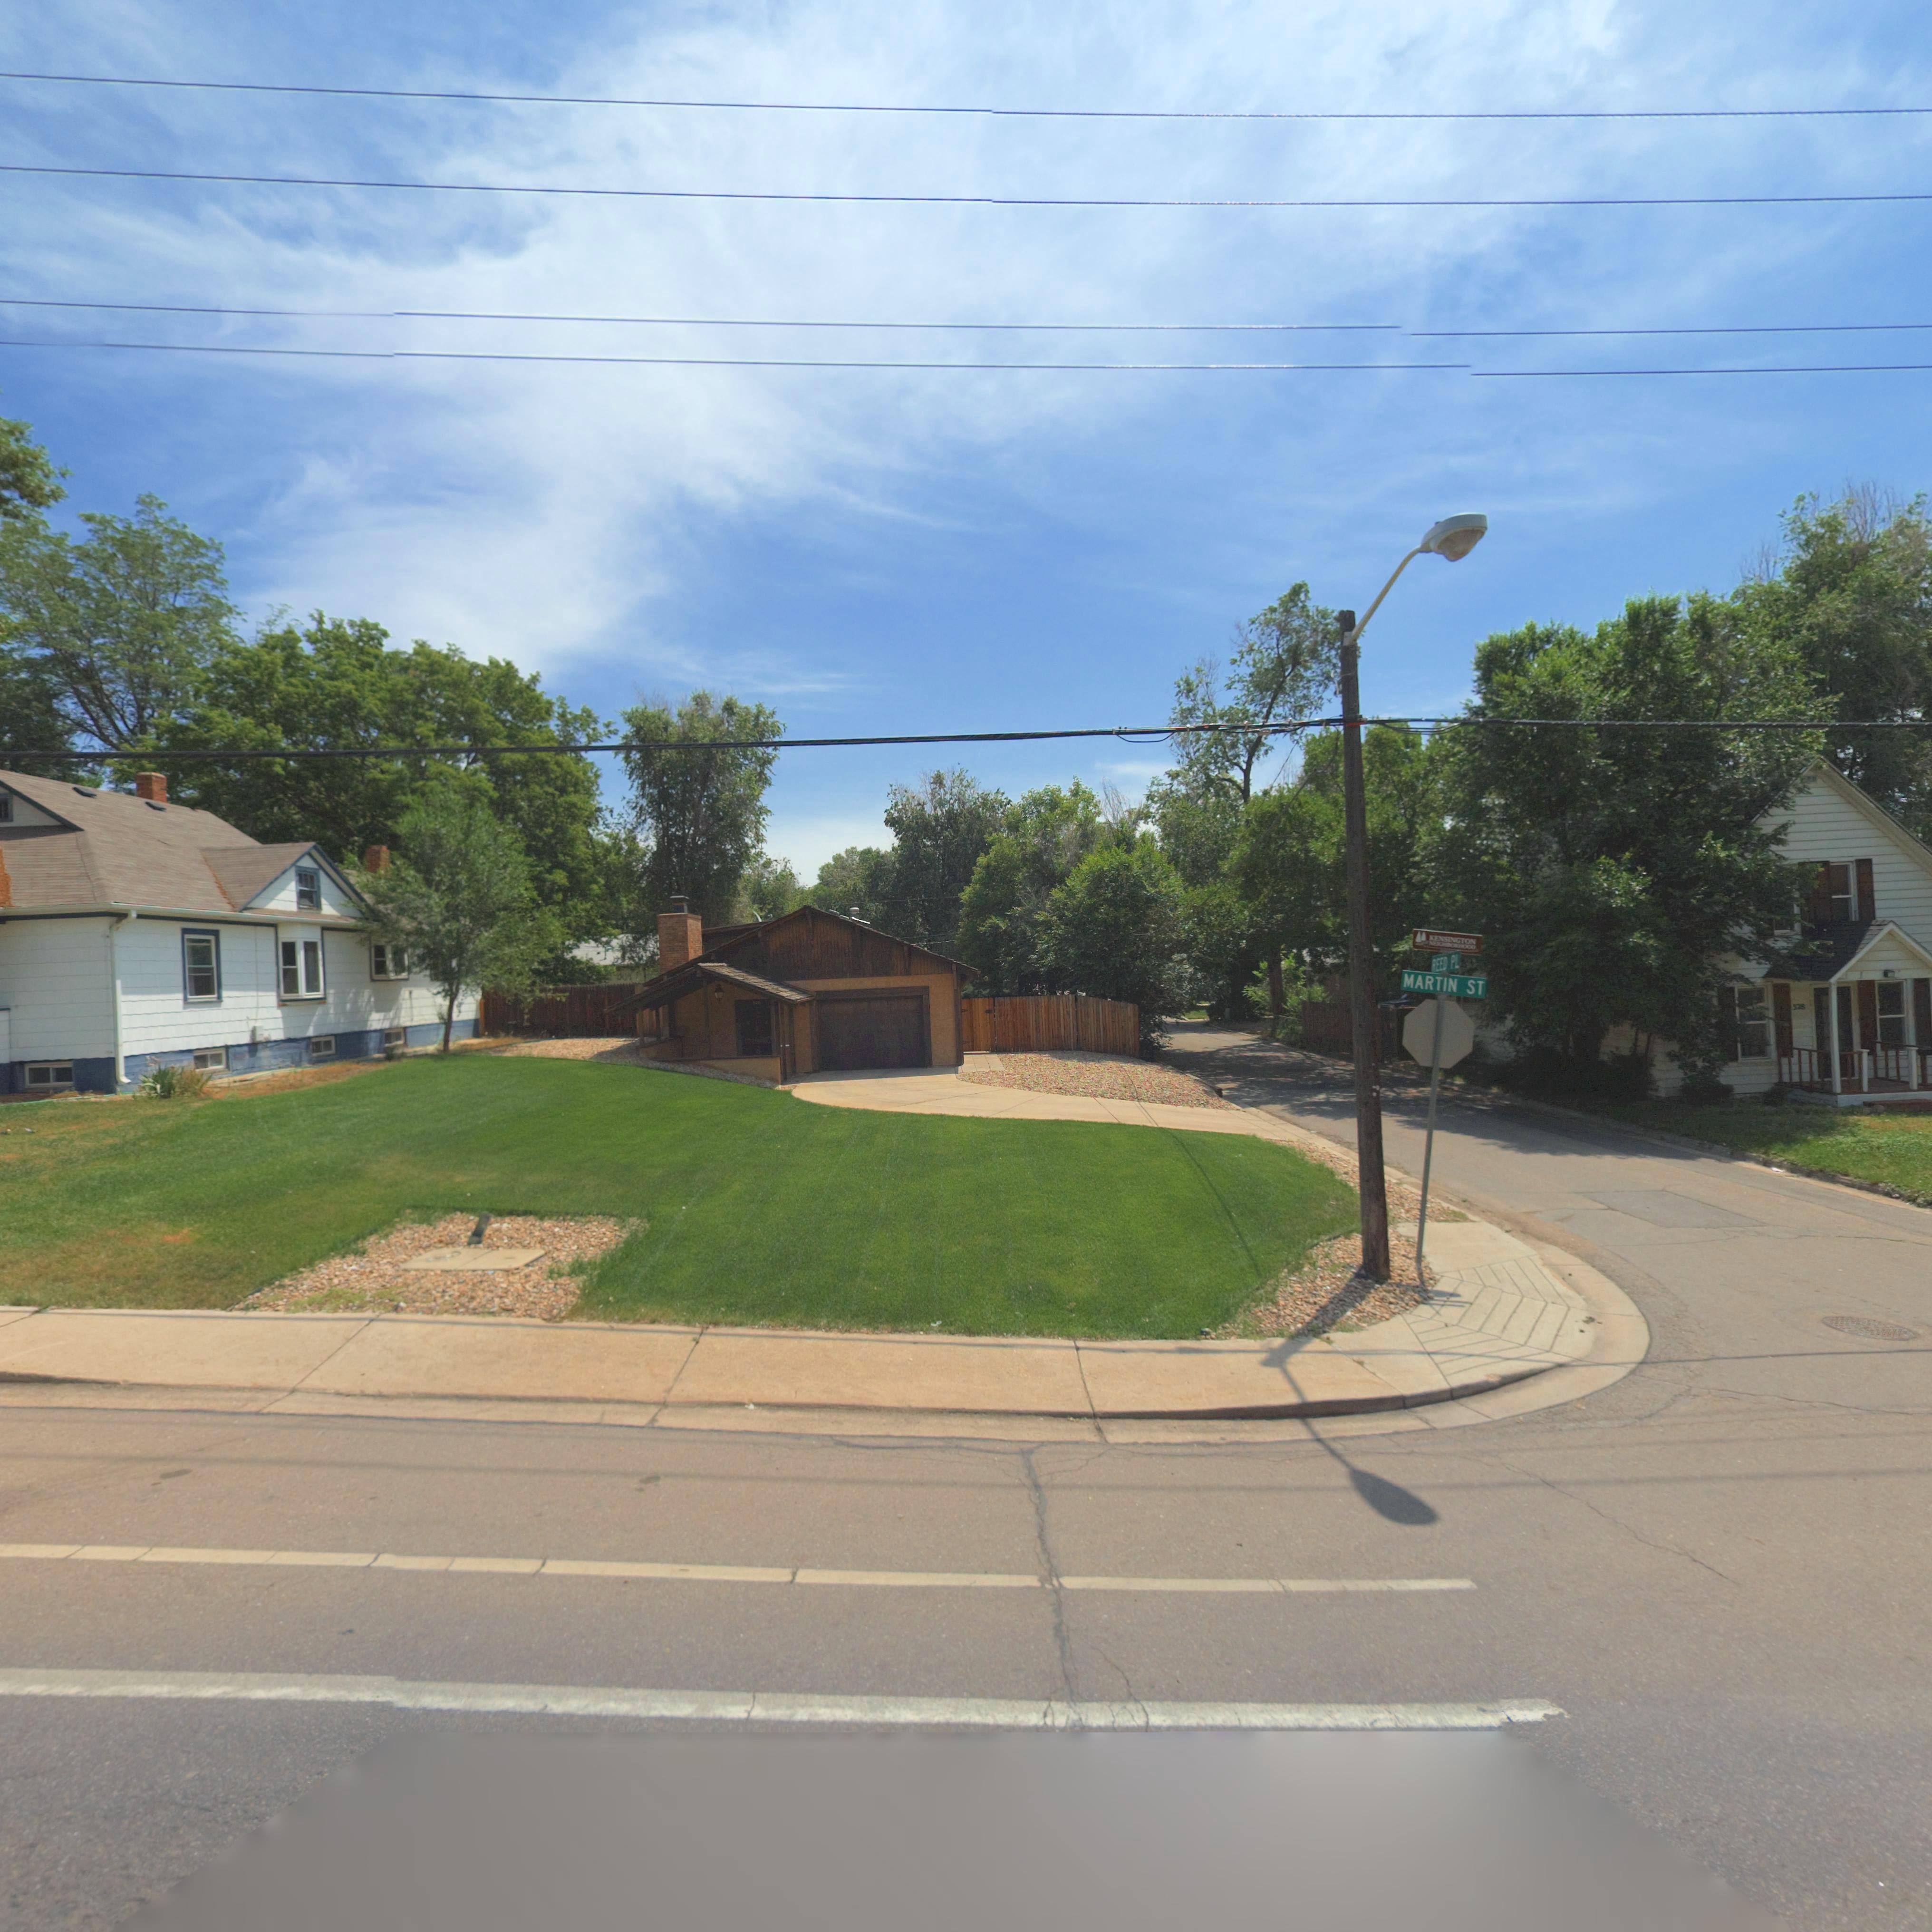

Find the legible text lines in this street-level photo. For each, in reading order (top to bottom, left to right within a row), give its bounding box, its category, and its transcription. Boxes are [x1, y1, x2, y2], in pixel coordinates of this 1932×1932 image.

[1431, 954, 1459, 973] StreetName: REED PL
[1403, 973, 1484, 995] StreetName: MARTIN ST
[1792, 1003, 1805, 1010] StreetNumber: **8